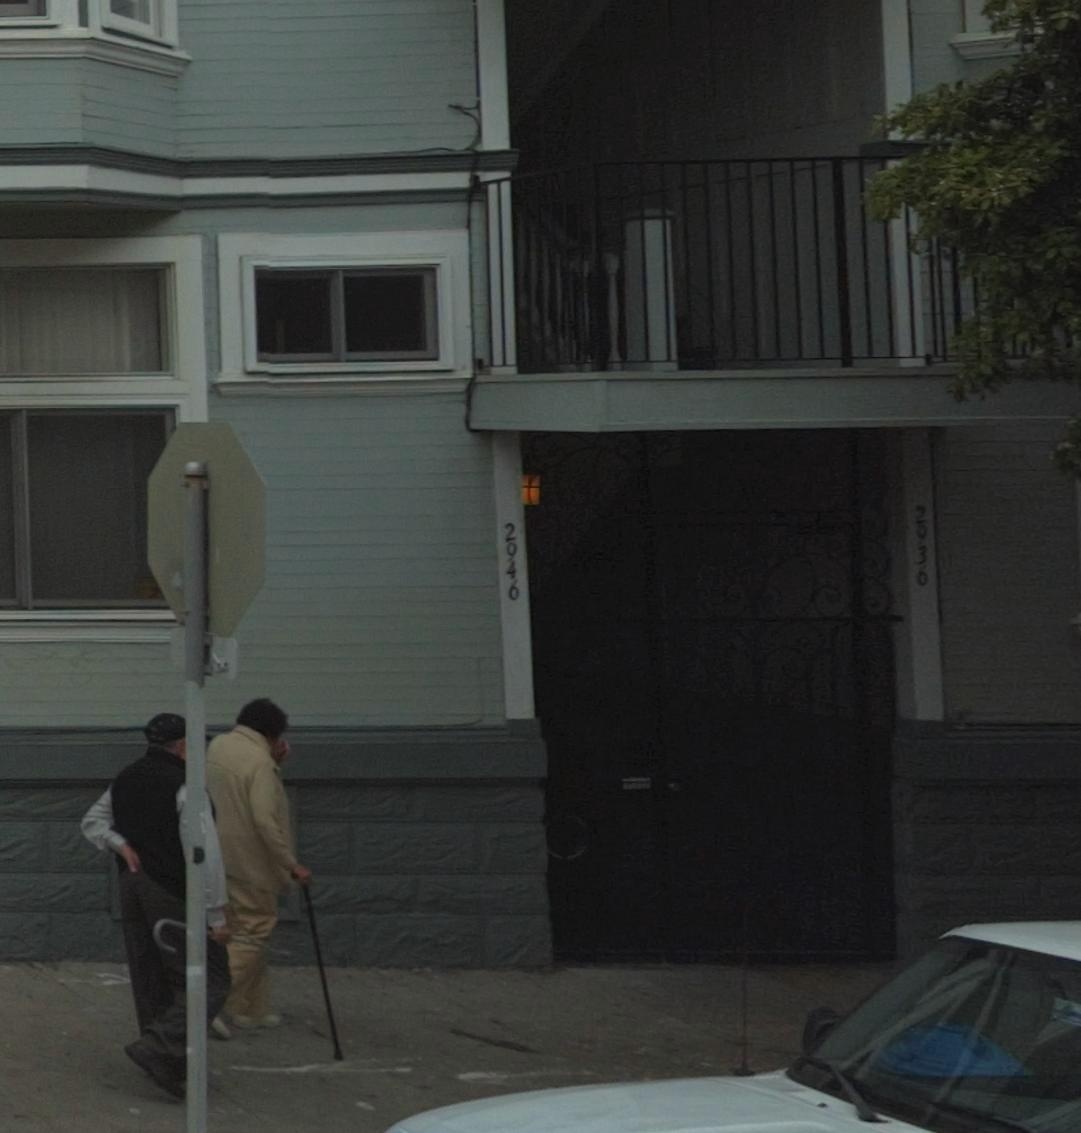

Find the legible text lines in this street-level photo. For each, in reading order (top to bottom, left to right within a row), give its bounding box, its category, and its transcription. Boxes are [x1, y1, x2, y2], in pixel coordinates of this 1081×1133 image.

[501, 521, 521, 604] StreetNumber: 2946
[914, 503, 929, 590] StreetNumber: 2936